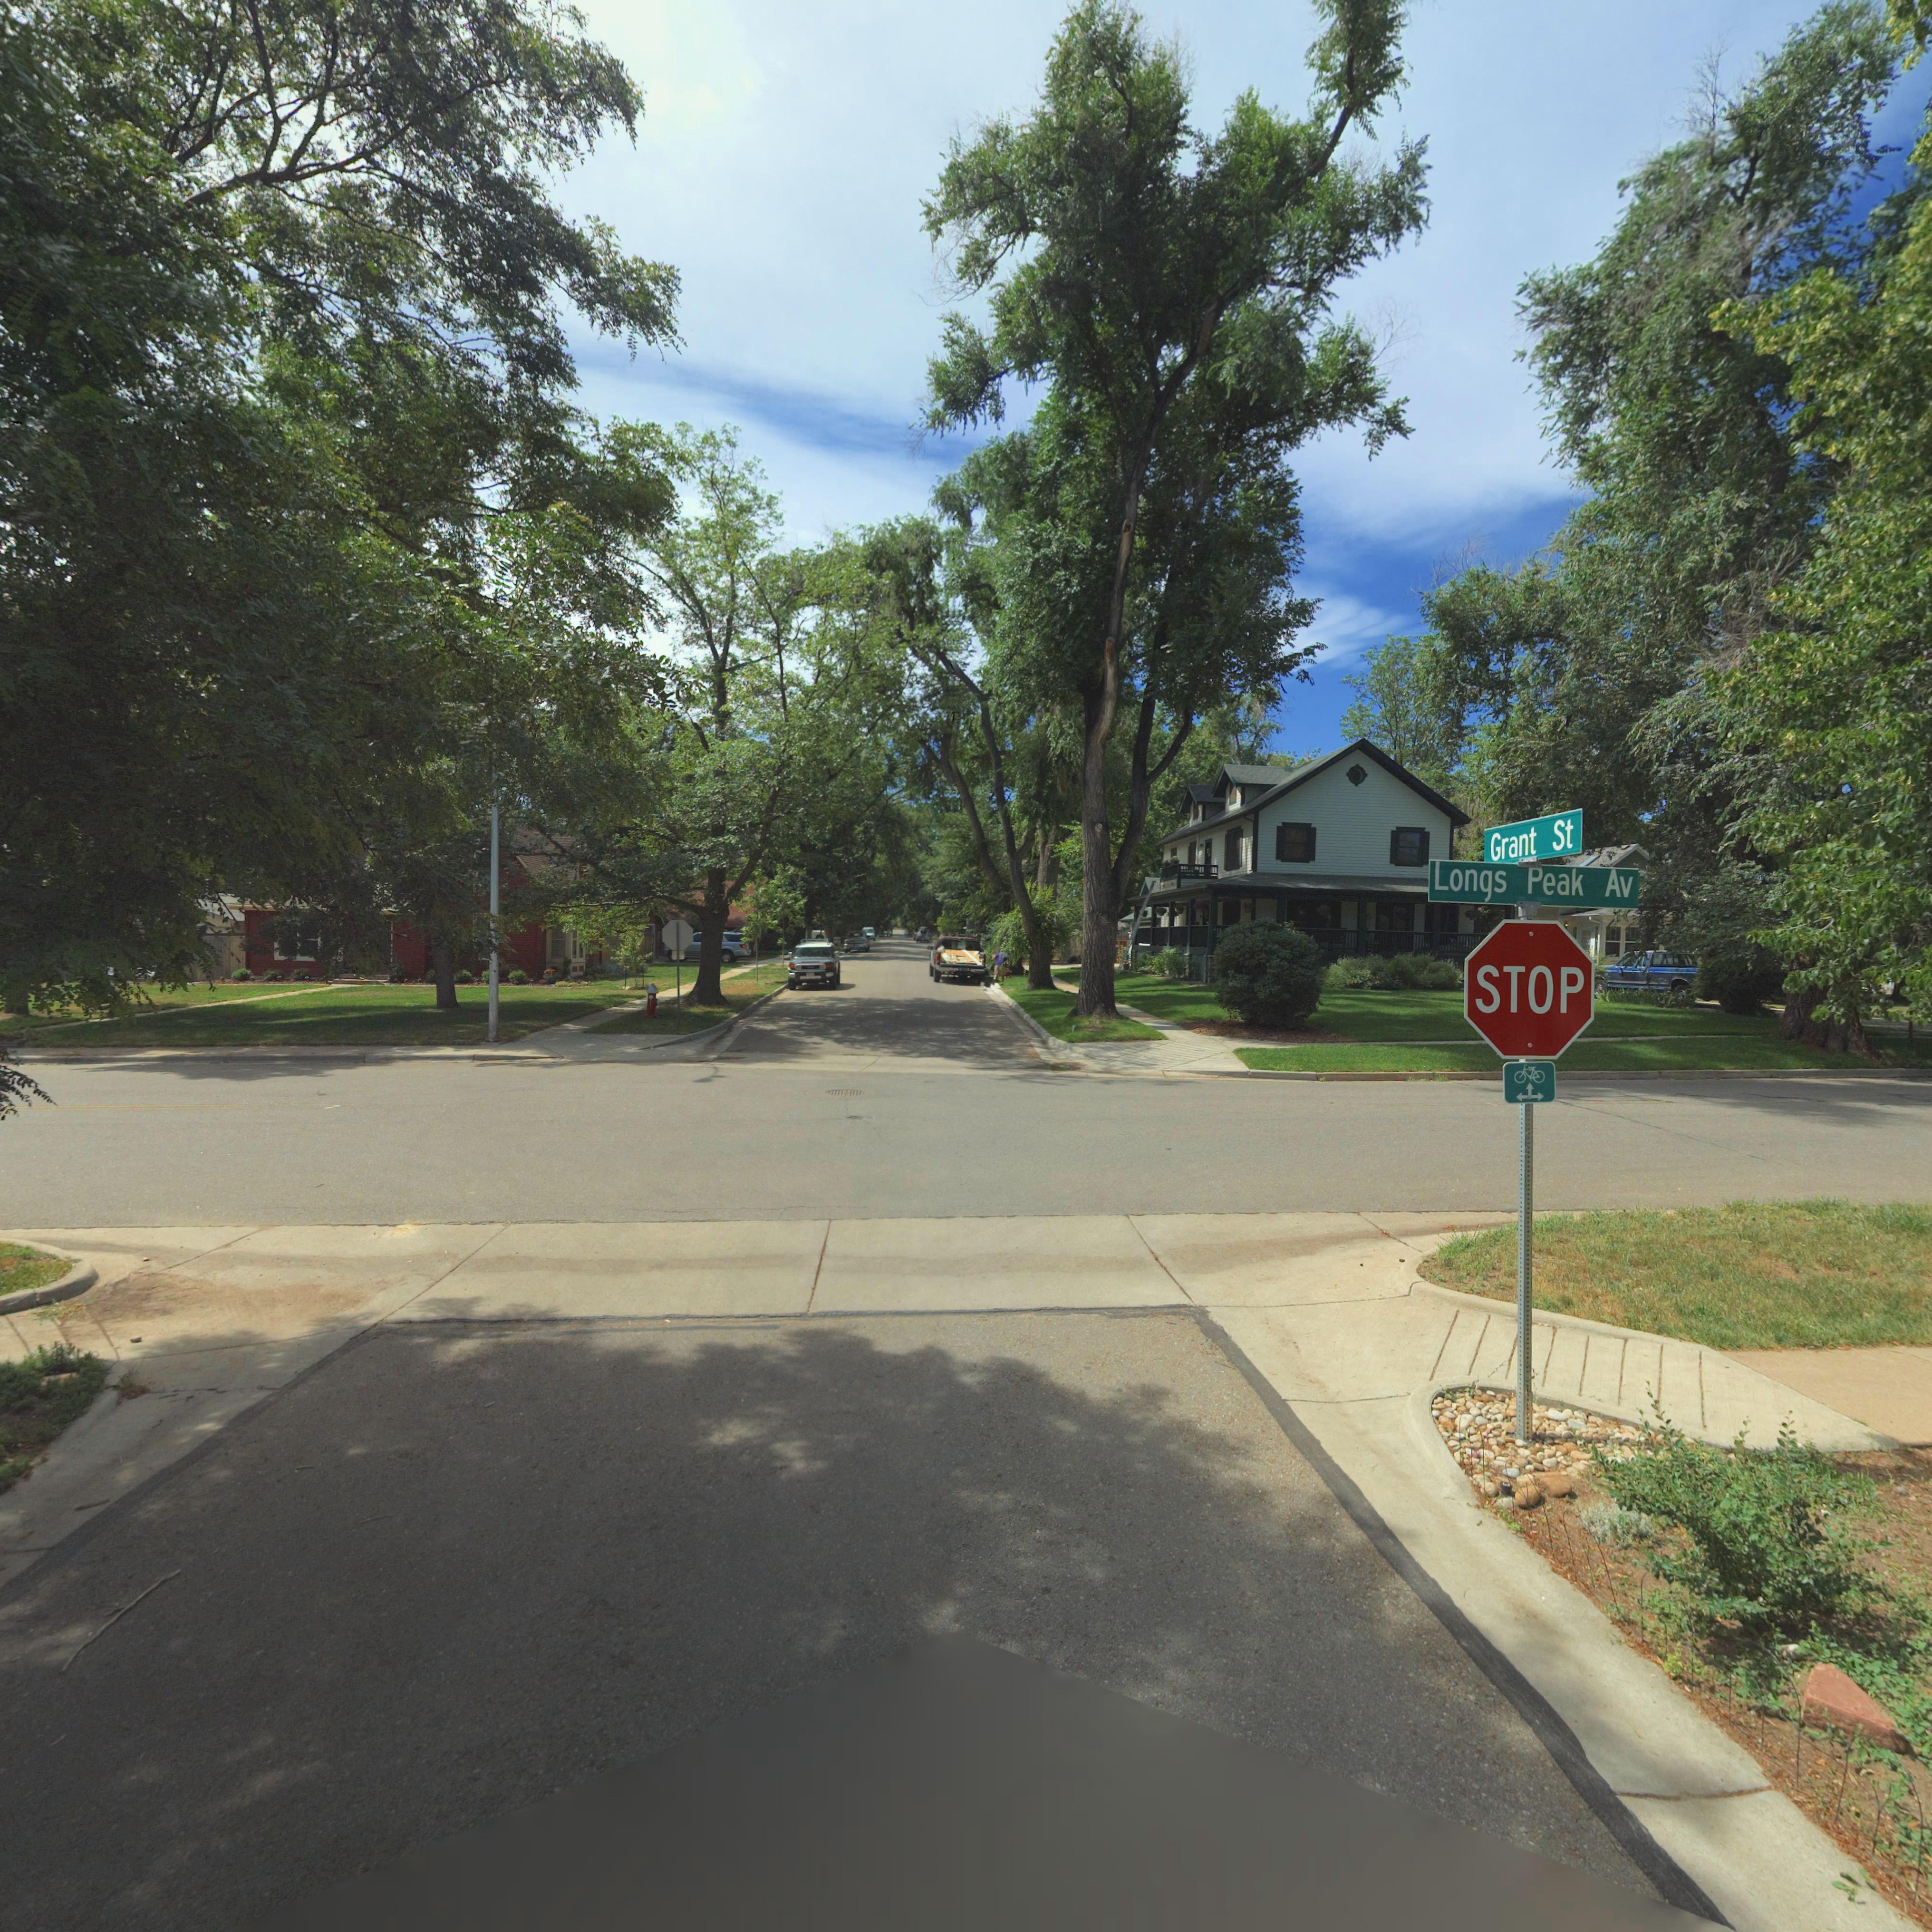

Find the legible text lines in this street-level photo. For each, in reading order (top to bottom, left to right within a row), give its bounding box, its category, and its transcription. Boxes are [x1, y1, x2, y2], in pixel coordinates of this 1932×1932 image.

[1490, 816, 1574, 861] StreetName: Grant St
[1431, 859, 1637, 903] StreetName: Longs Peak Av